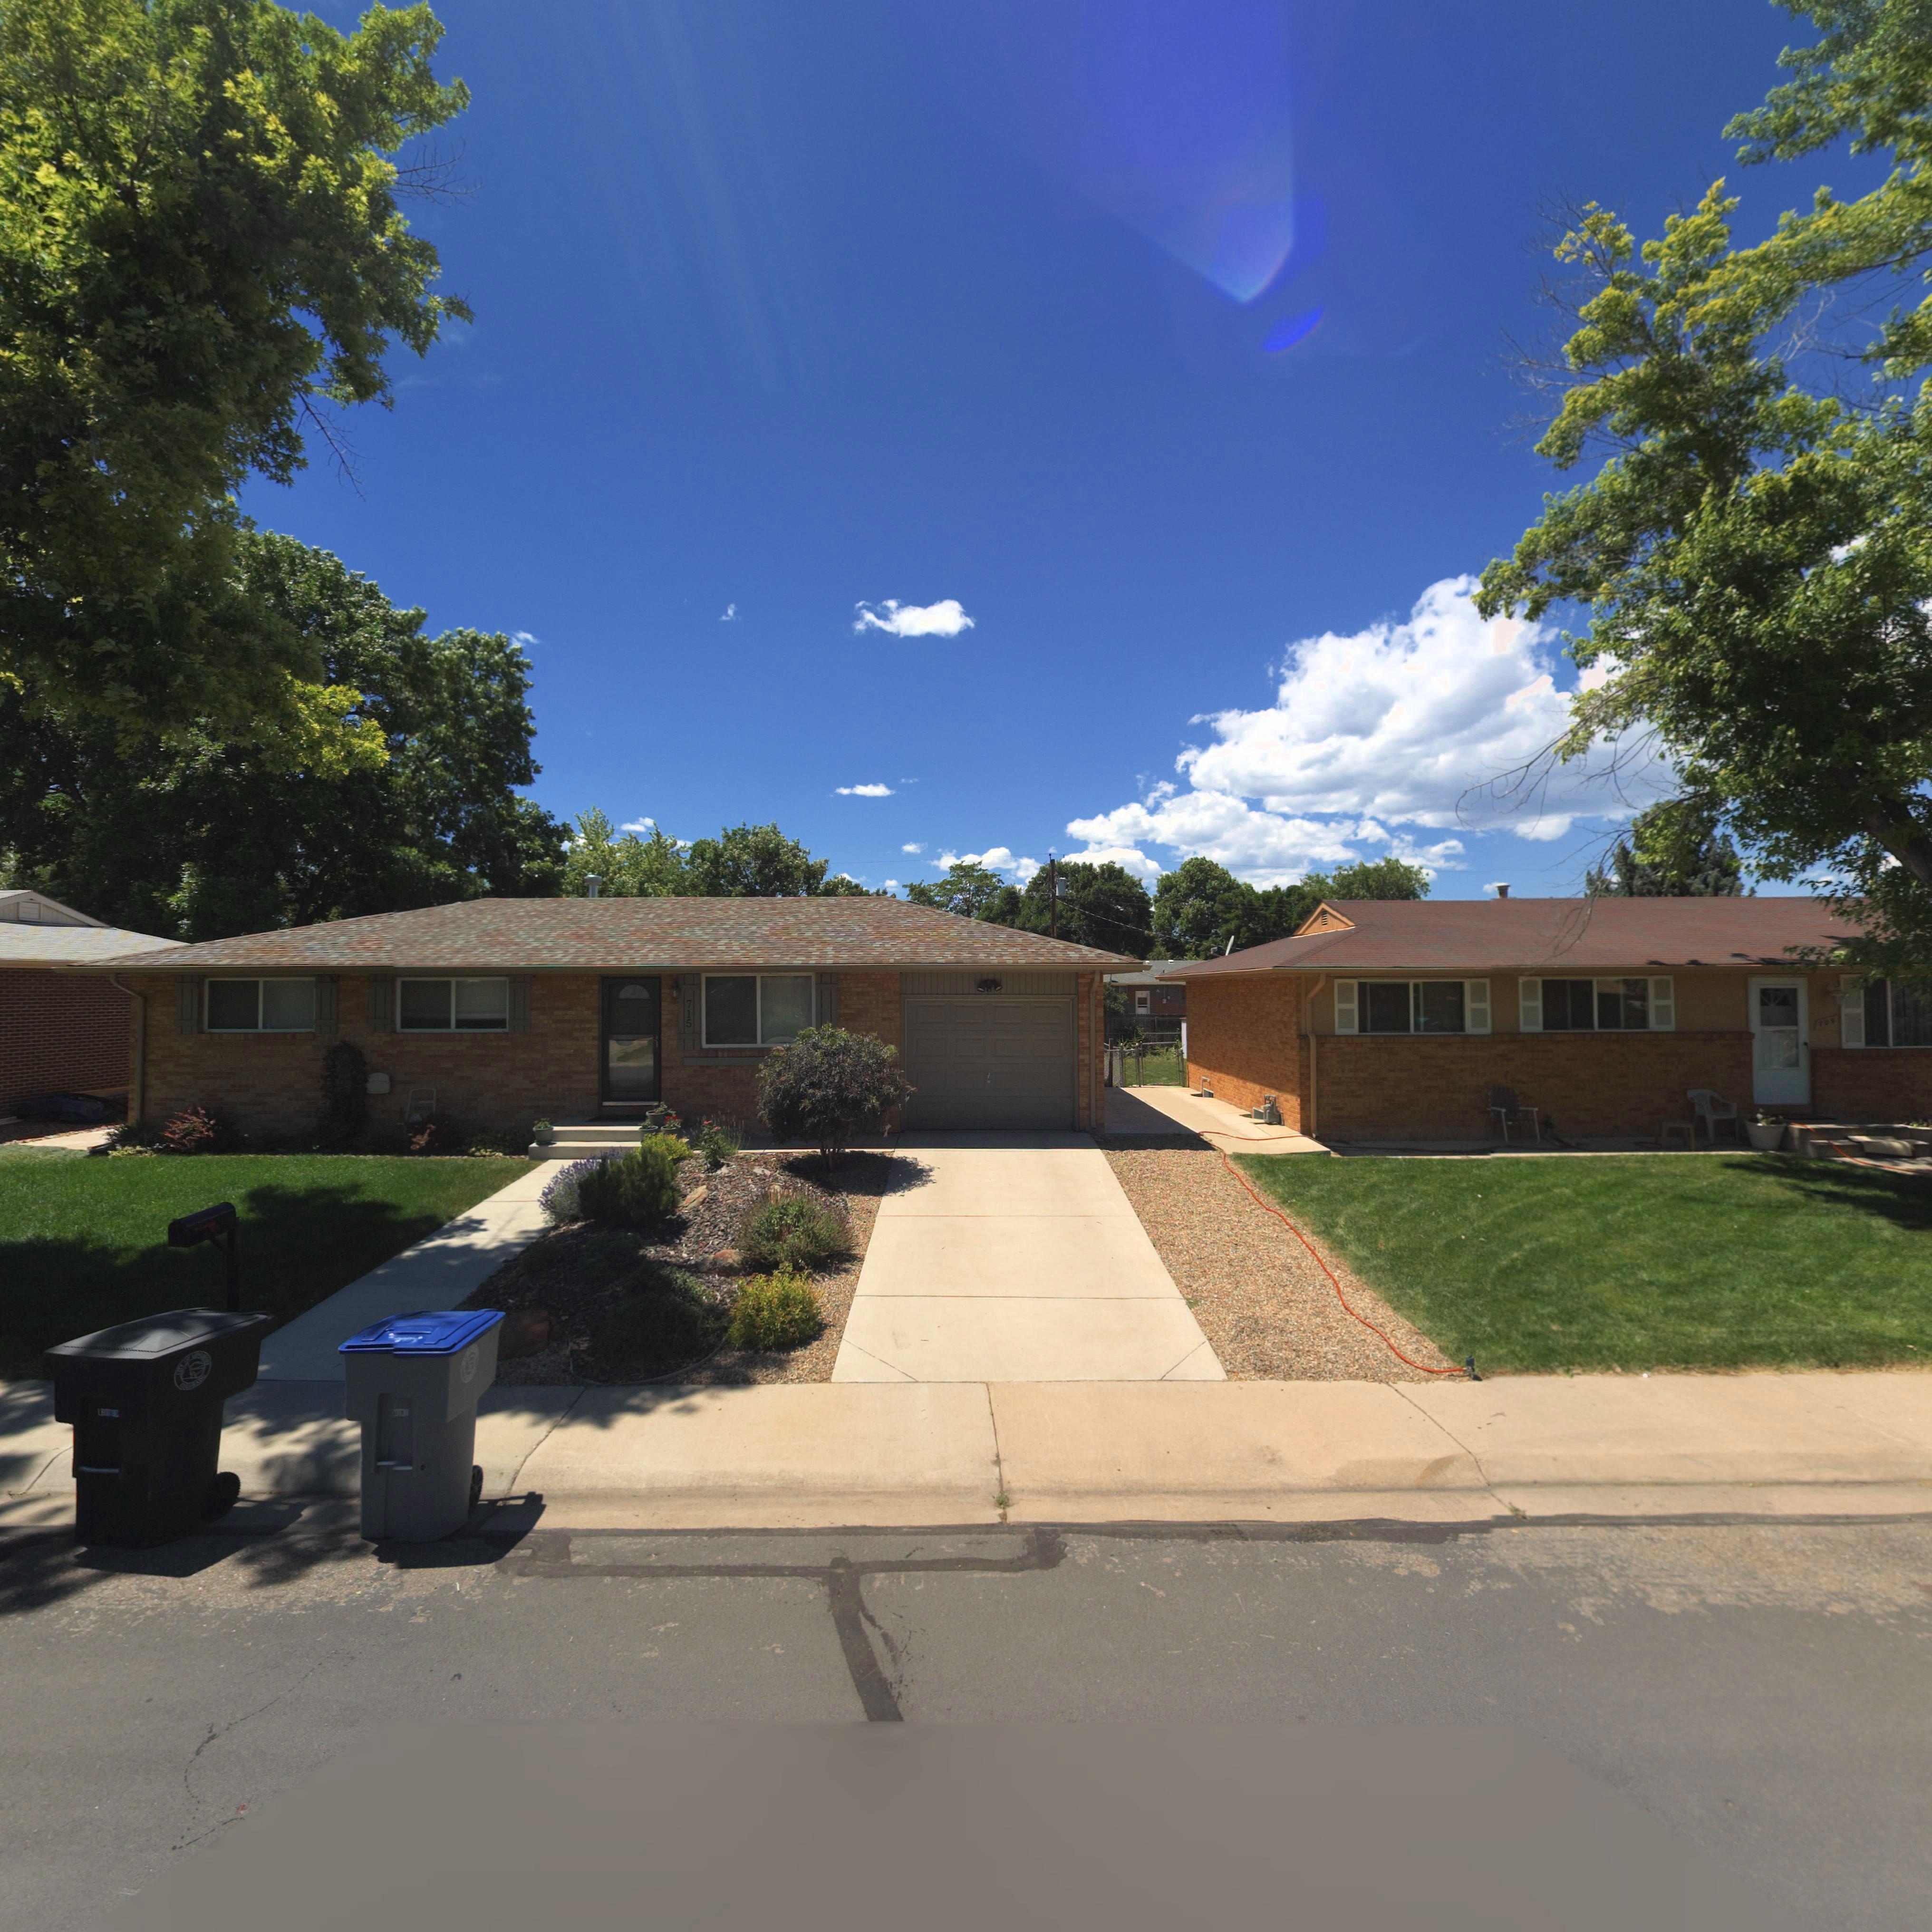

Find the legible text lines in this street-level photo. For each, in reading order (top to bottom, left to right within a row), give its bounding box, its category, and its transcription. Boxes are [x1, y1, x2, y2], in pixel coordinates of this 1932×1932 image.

[685, 999, 692, 1028] StreetNumber: 715
[1818, 1017, 1835, 1027] StreetNumber: 709